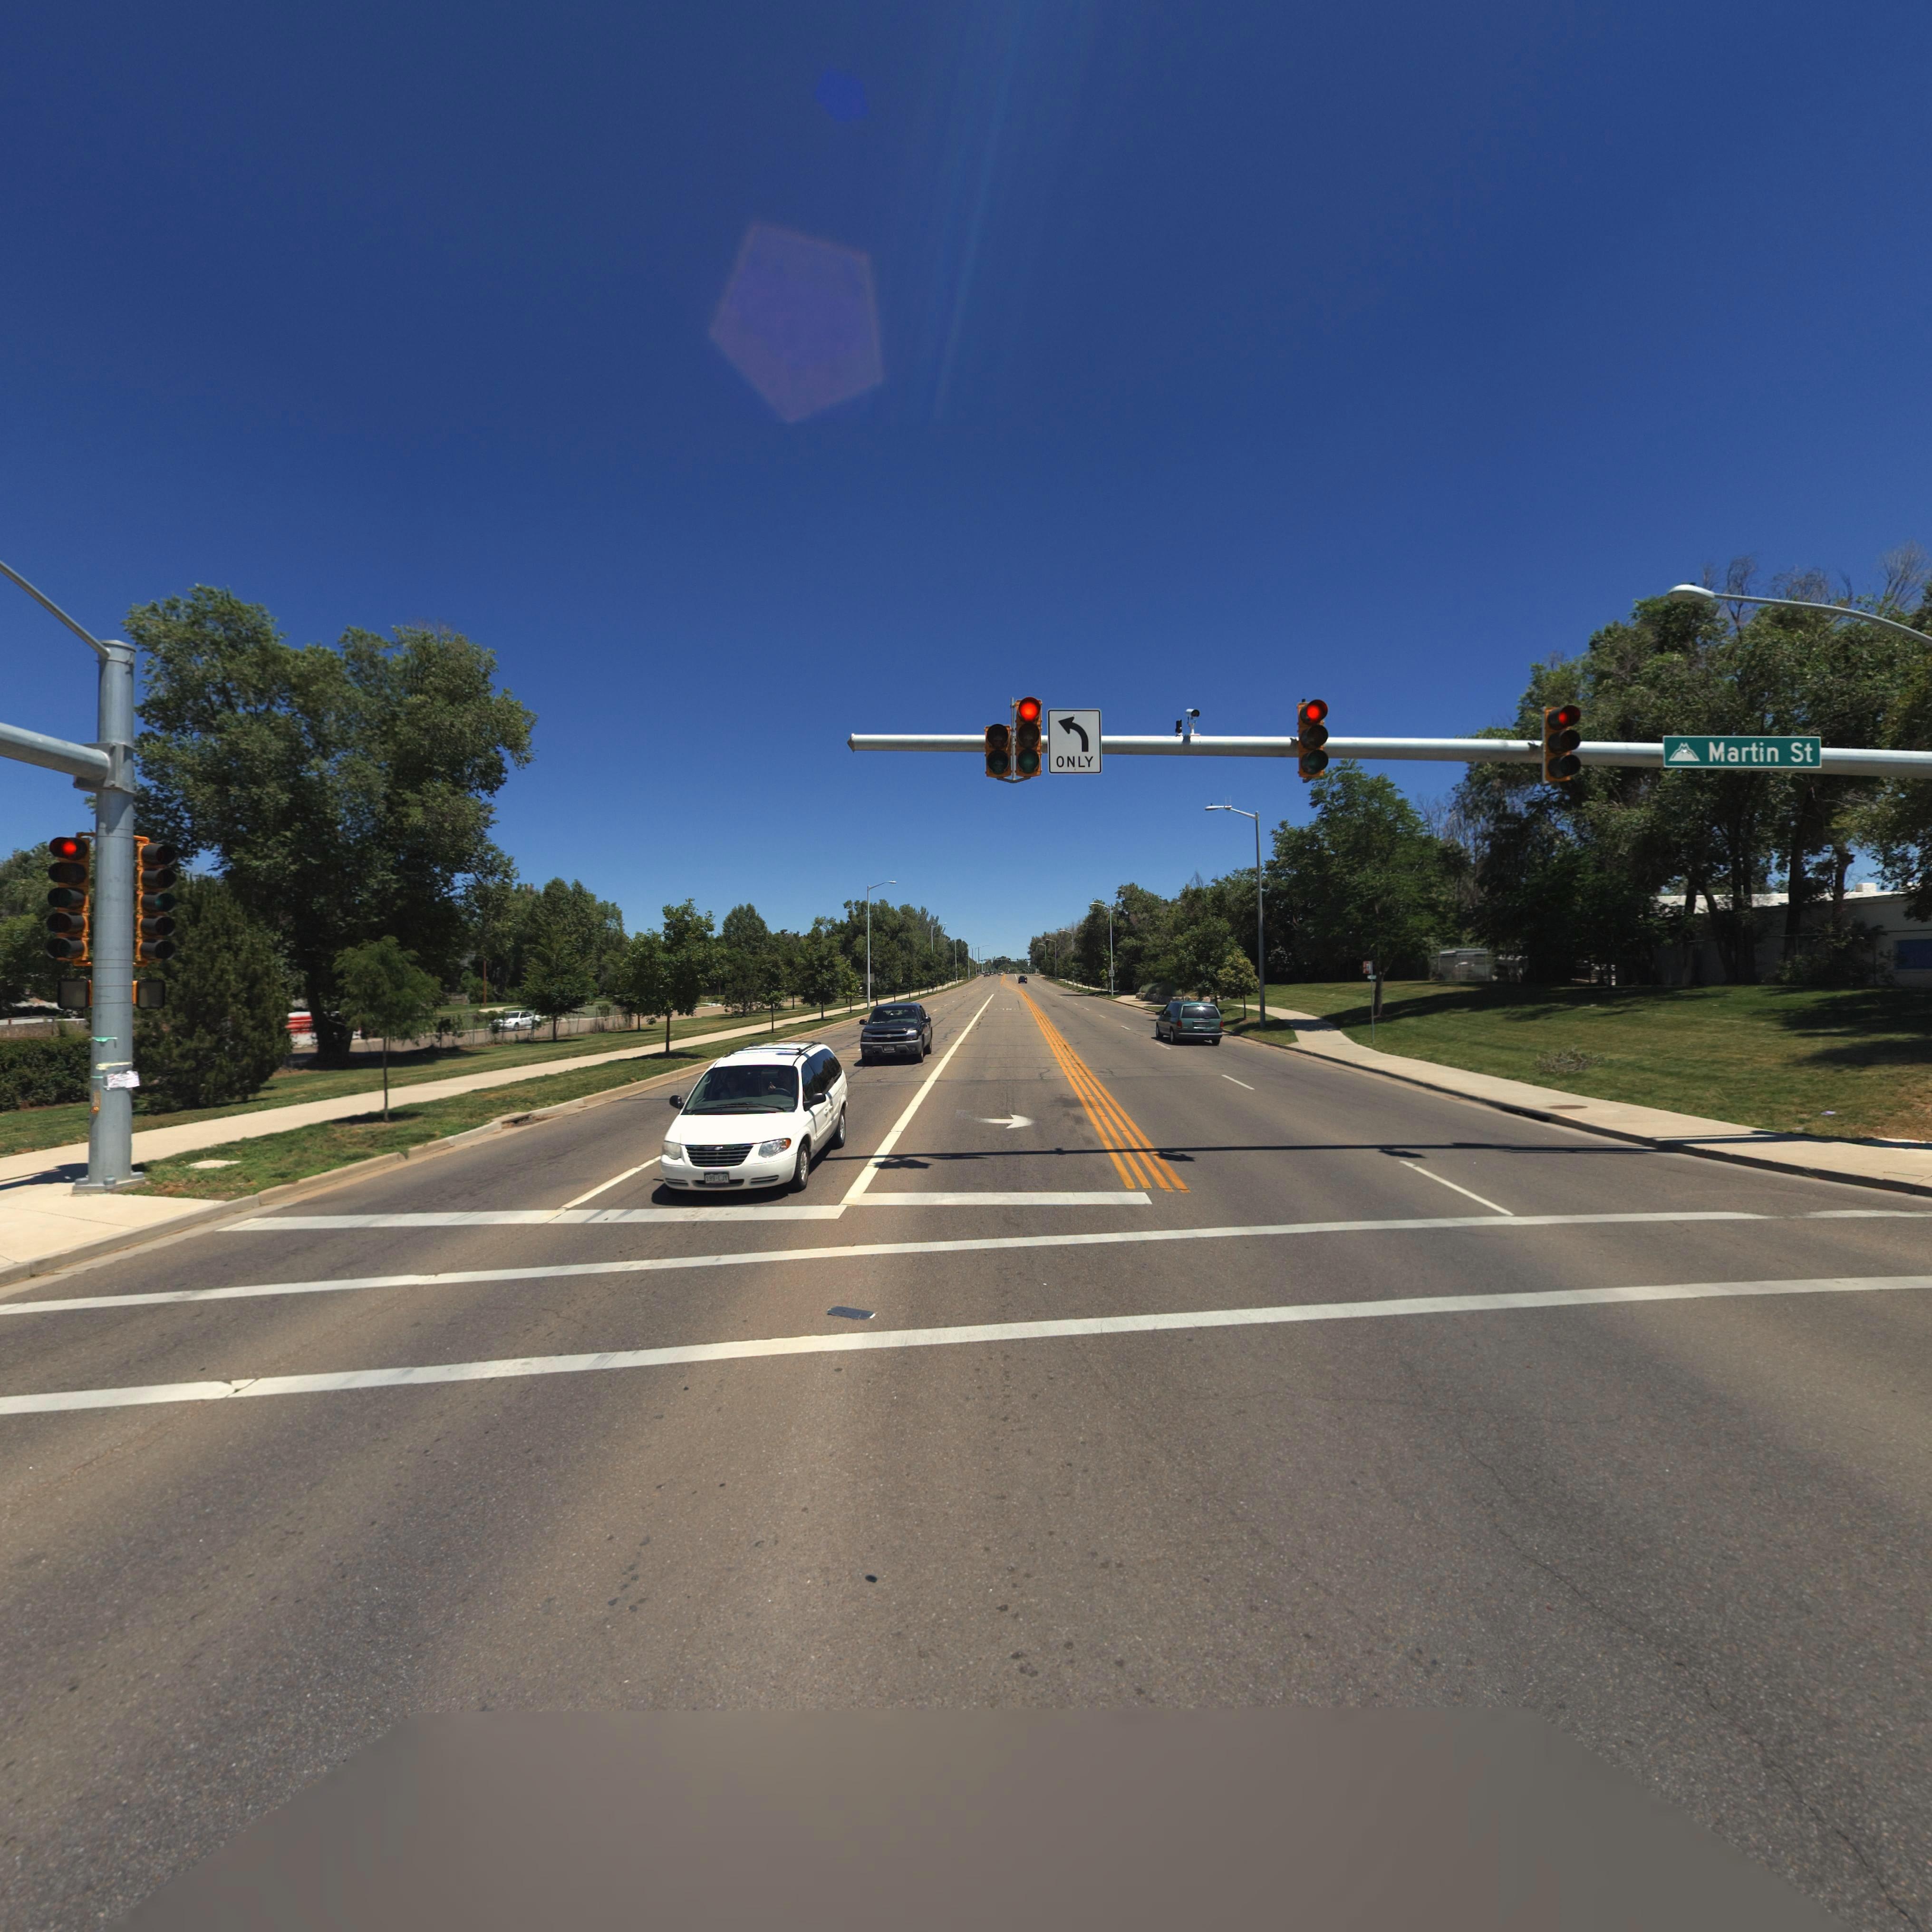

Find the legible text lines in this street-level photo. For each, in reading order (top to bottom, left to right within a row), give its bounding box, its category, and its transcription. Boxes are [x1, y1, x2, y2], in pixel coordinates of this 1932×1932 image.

[1708, 741, 1814, 763] StreetName: Martin St